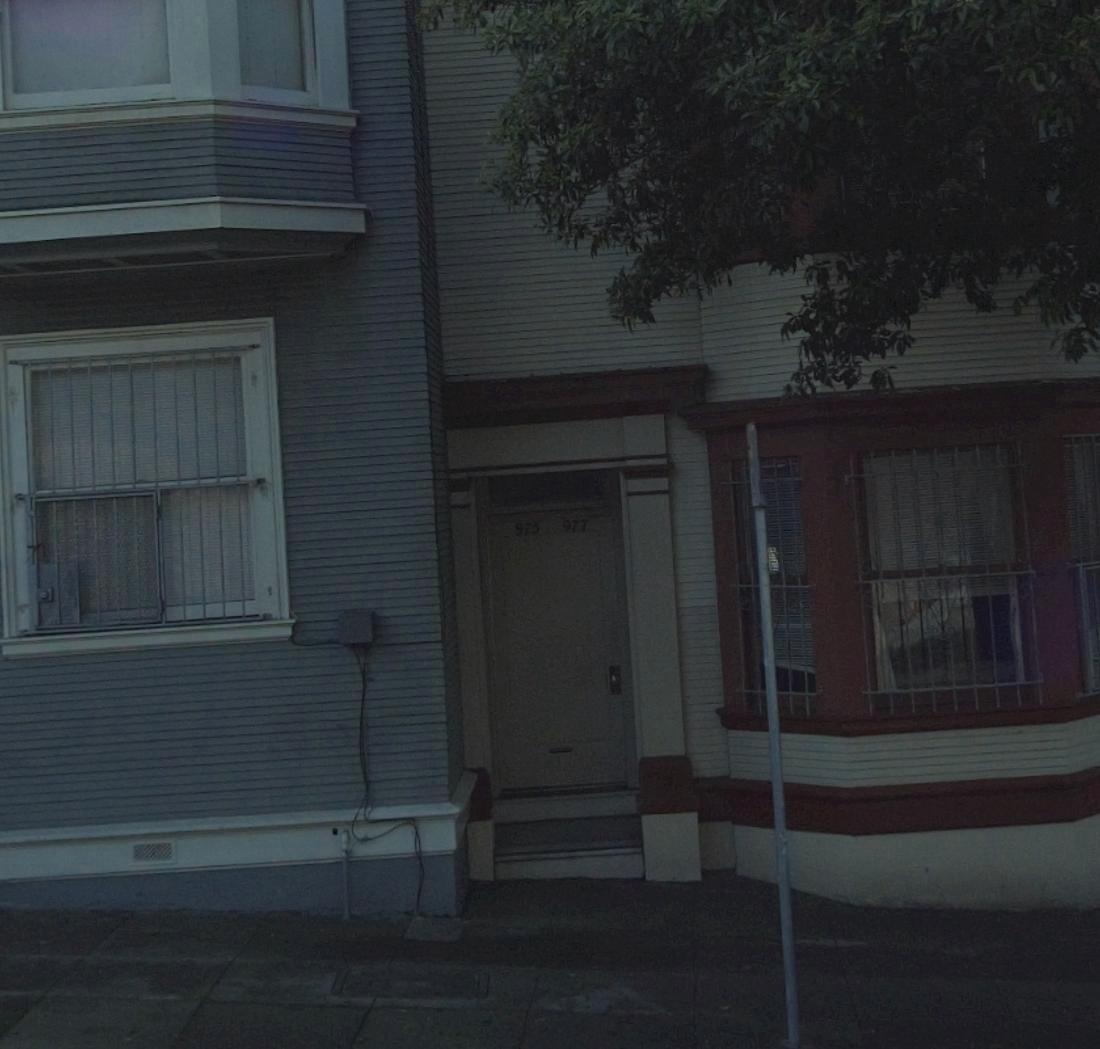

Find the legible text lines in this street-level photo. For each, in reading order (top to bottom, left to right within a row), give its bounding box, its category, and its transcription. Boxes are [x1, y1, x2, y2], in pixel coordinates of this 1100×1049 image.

[512, 520, 542, 539] StreetNumber: 973
[560, 517, 591, 535] StreetNumber: 977